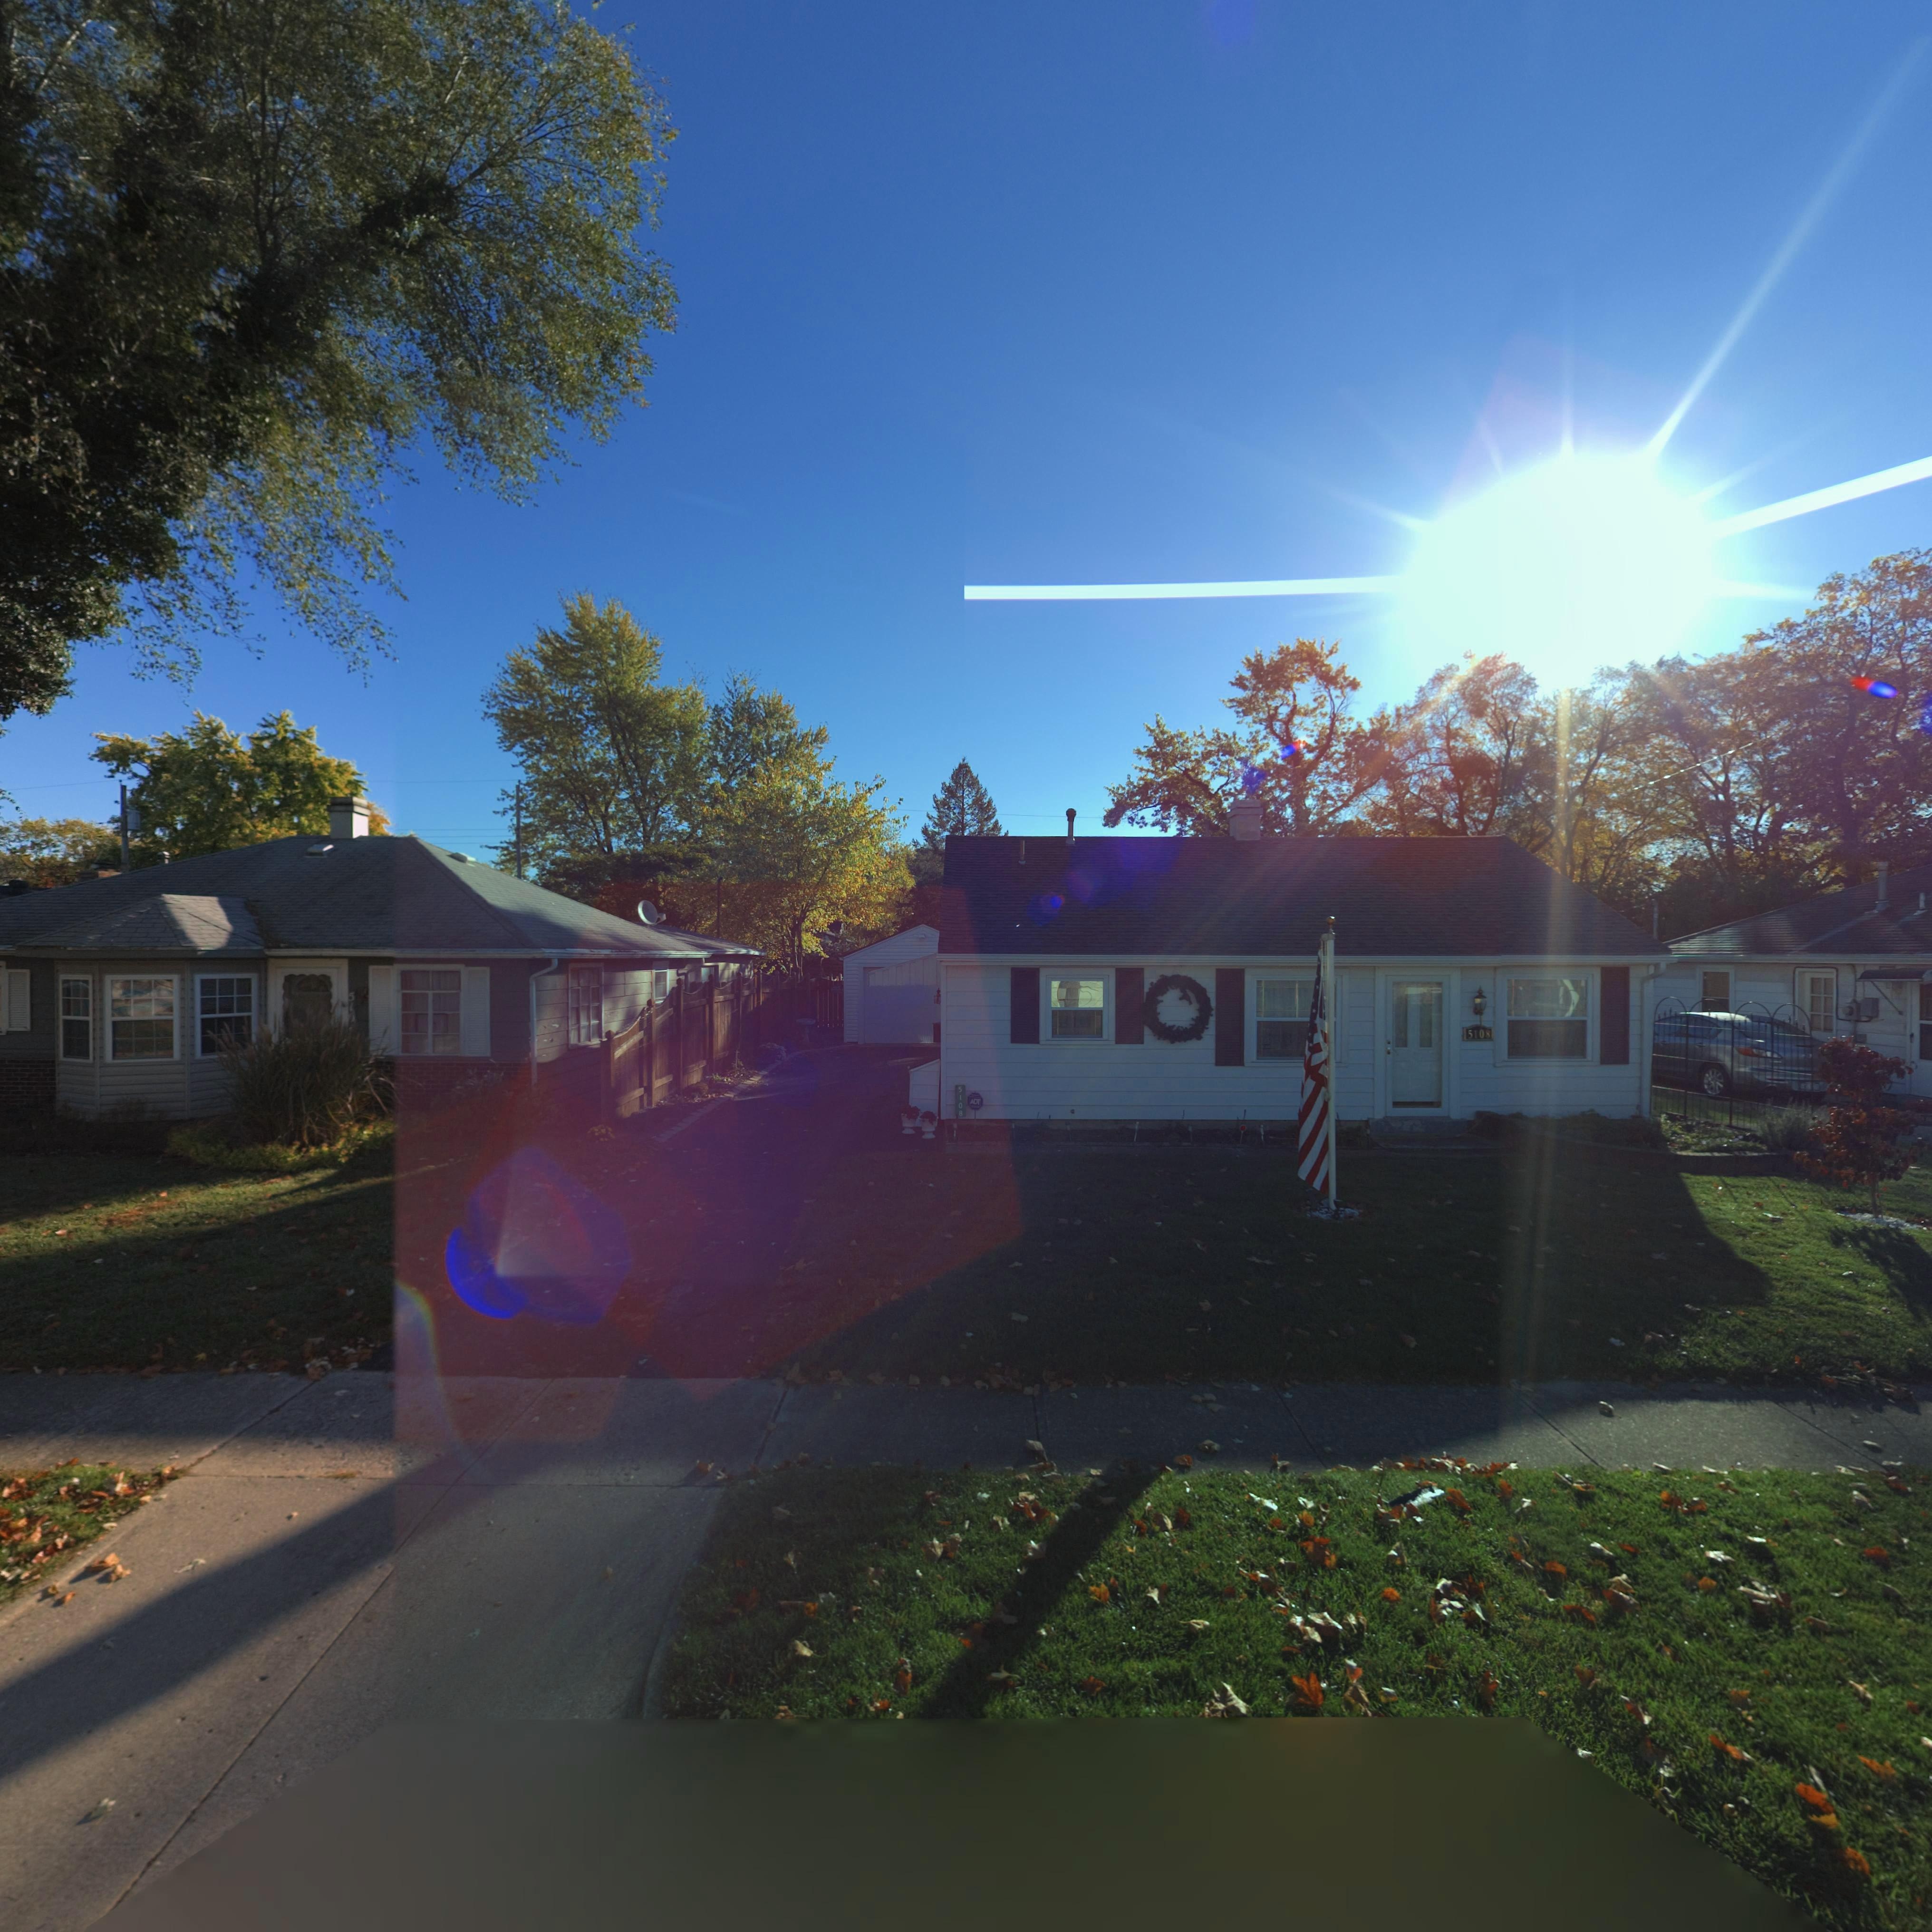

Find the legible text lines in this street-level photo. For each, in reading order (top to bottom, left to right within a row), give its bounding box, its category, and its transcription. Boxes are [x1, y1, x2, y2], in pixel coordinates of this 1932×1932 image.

[348, 991, 355, 1012] StreetNumber: 51
[1467, 1029, 1491, 1039] StreetNumber: 5108
[958, 1086, 963, 1117] StreetNumber: 5108